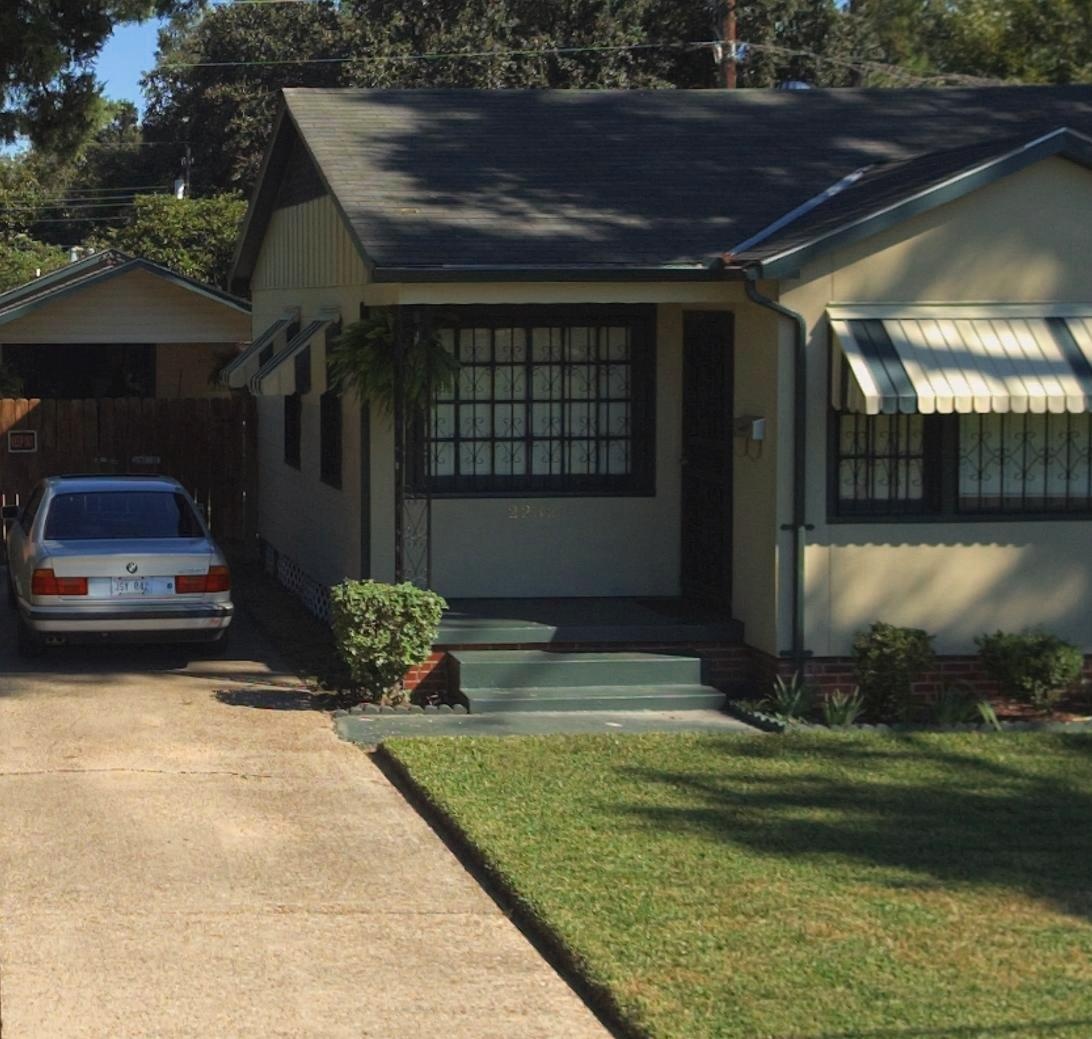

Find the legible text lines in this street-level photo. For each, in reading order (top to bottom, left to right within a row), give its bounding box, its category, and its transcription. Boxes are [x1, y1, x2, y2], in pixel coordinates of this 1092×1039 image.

[10, 434, 35, 449] None: KEEP OUT
[507, 503, 557, 520] StreetNumber: 2232
[112, 580, 152, 591] None: JSY *47